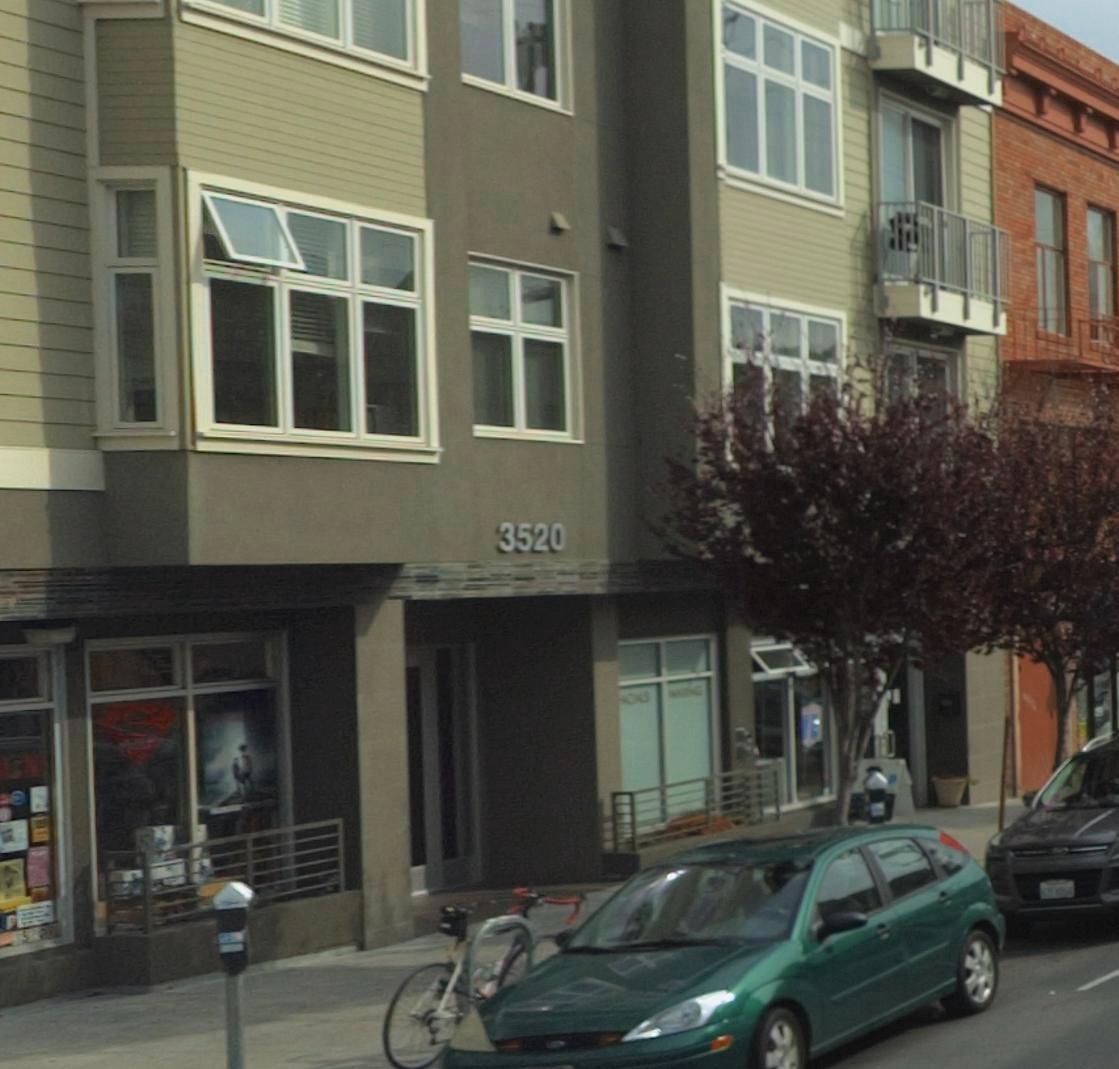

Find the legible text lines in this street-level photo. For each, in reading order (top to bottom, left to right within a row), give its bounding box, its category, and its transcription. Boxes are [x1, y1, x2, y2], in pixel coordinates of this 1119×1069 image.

[496, 521, 568, 553] StreetNumber: 3520